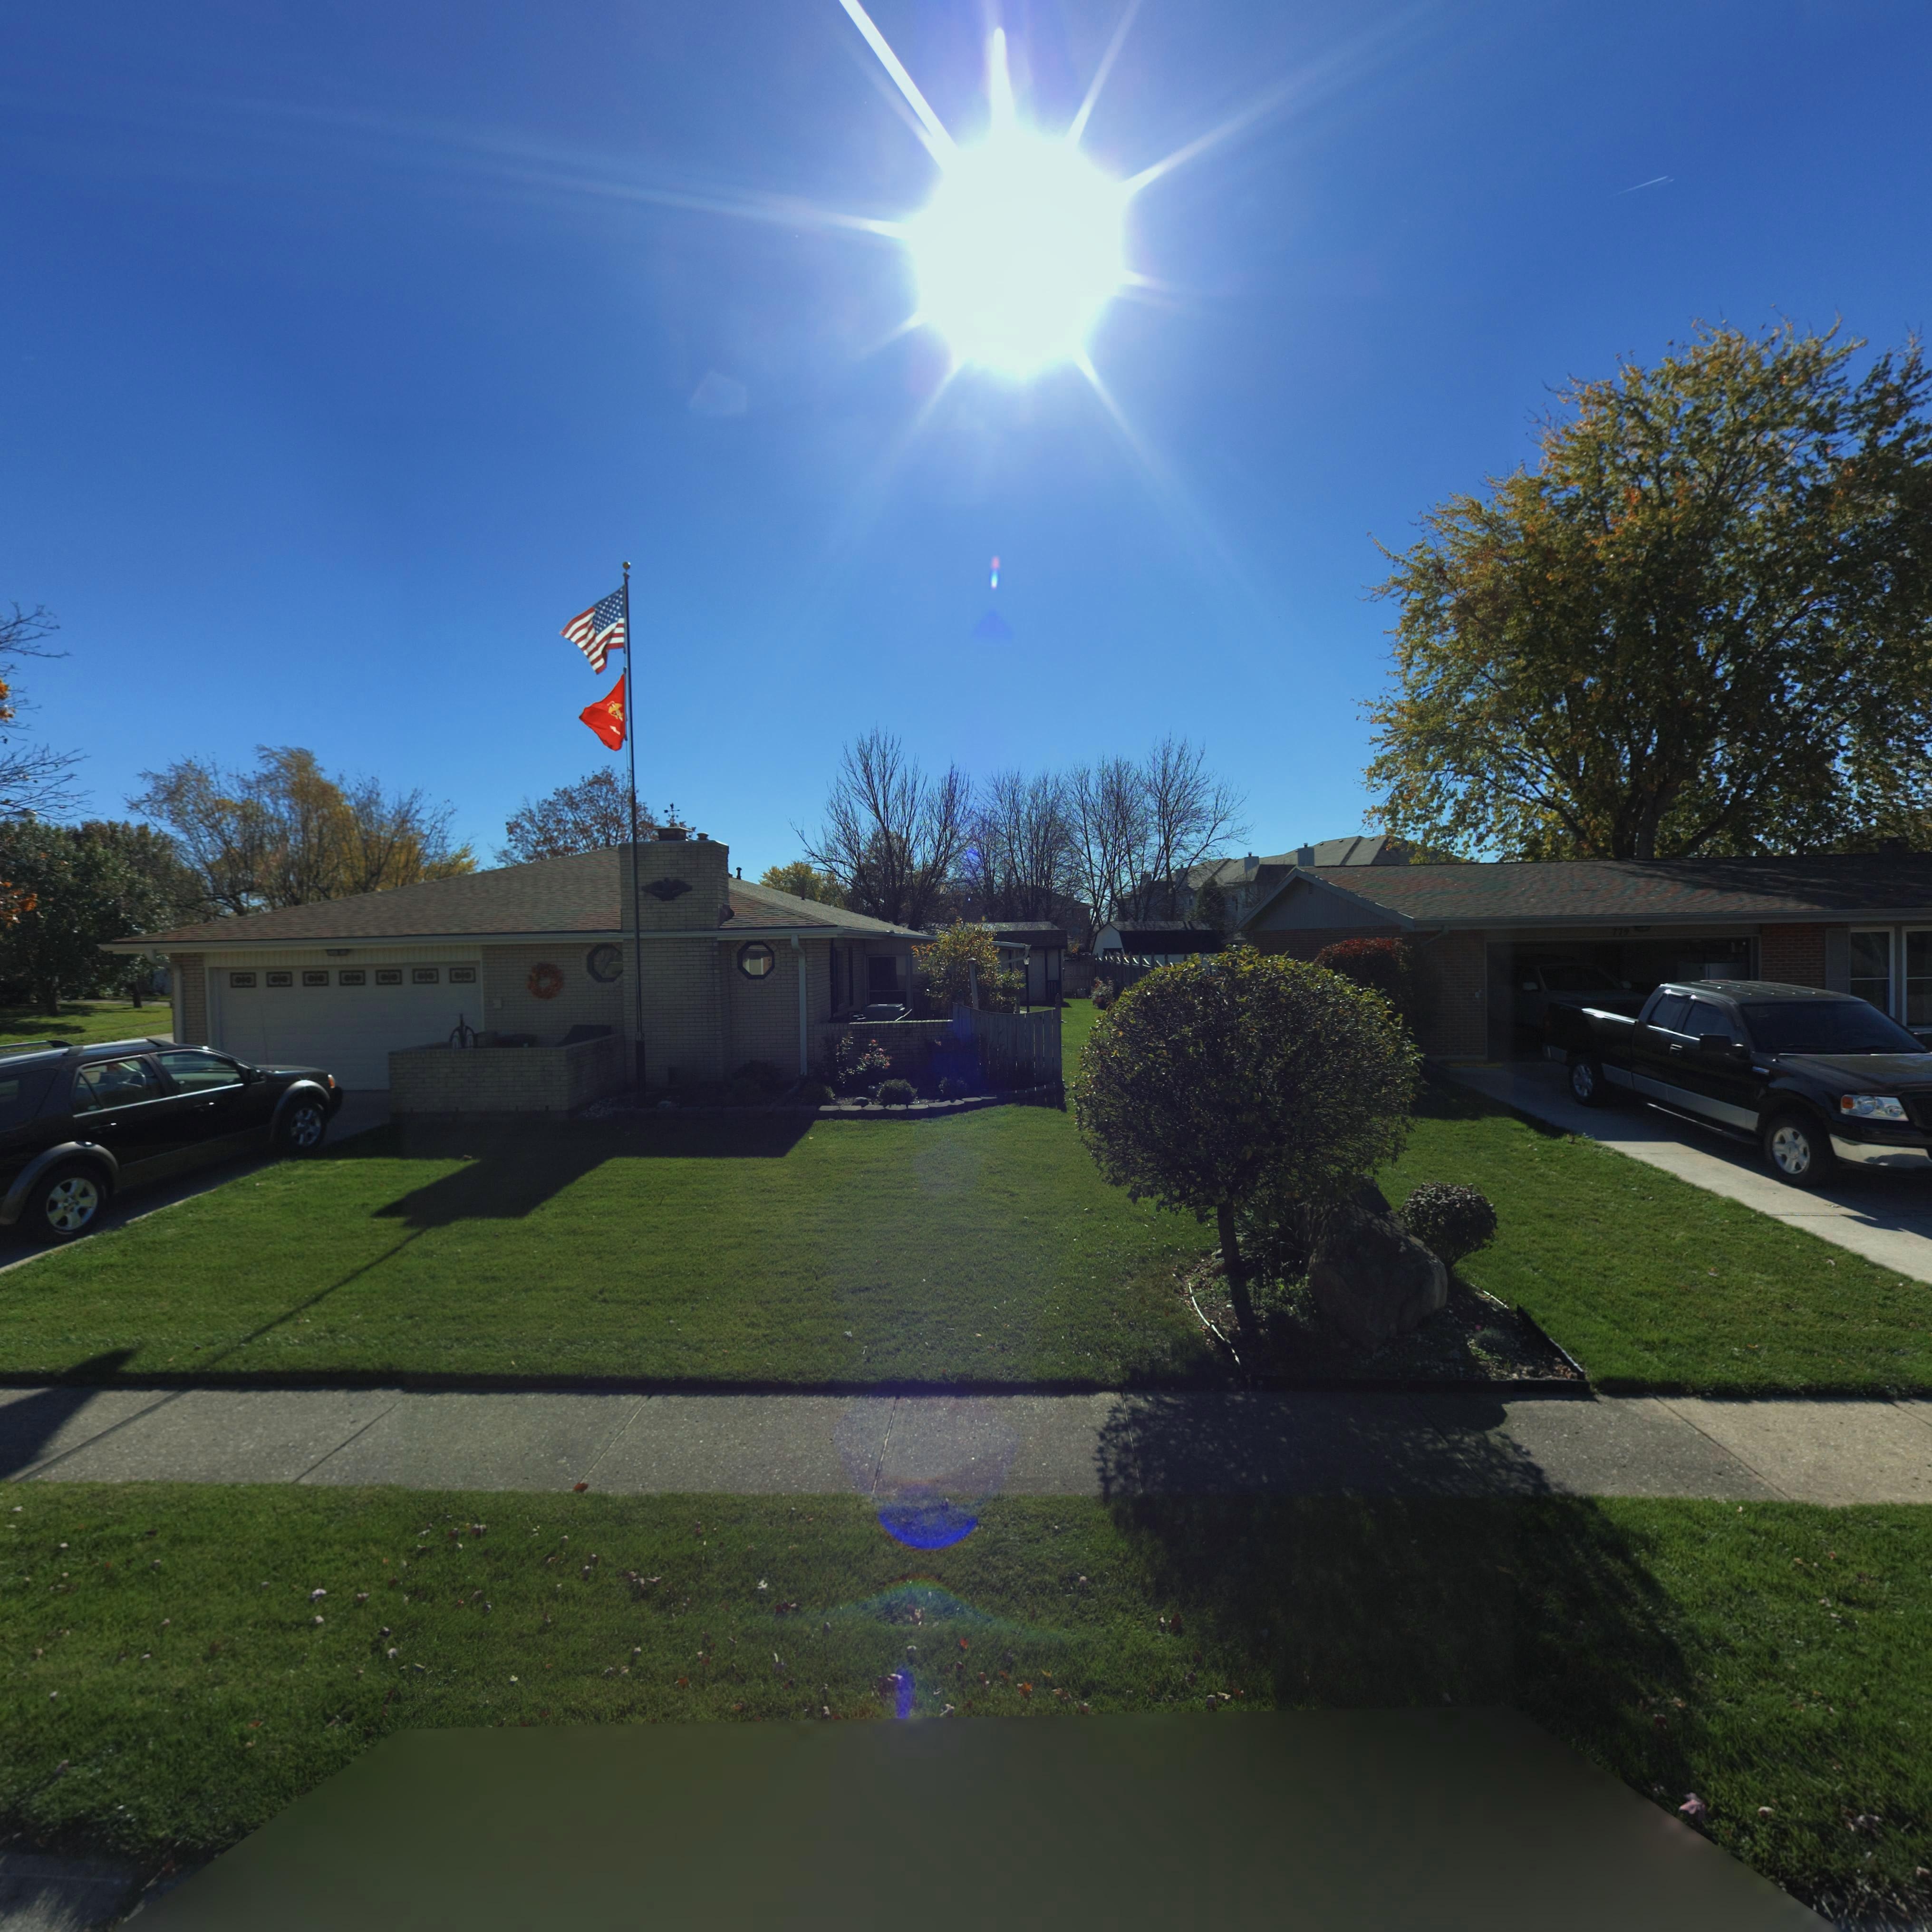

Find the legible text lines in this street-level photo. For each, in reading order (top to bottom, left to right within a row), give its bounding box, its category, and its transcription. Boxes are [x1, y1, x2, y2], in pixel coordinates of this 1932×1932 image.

[1611, 927, 1631, 937] StreetNumber: 779